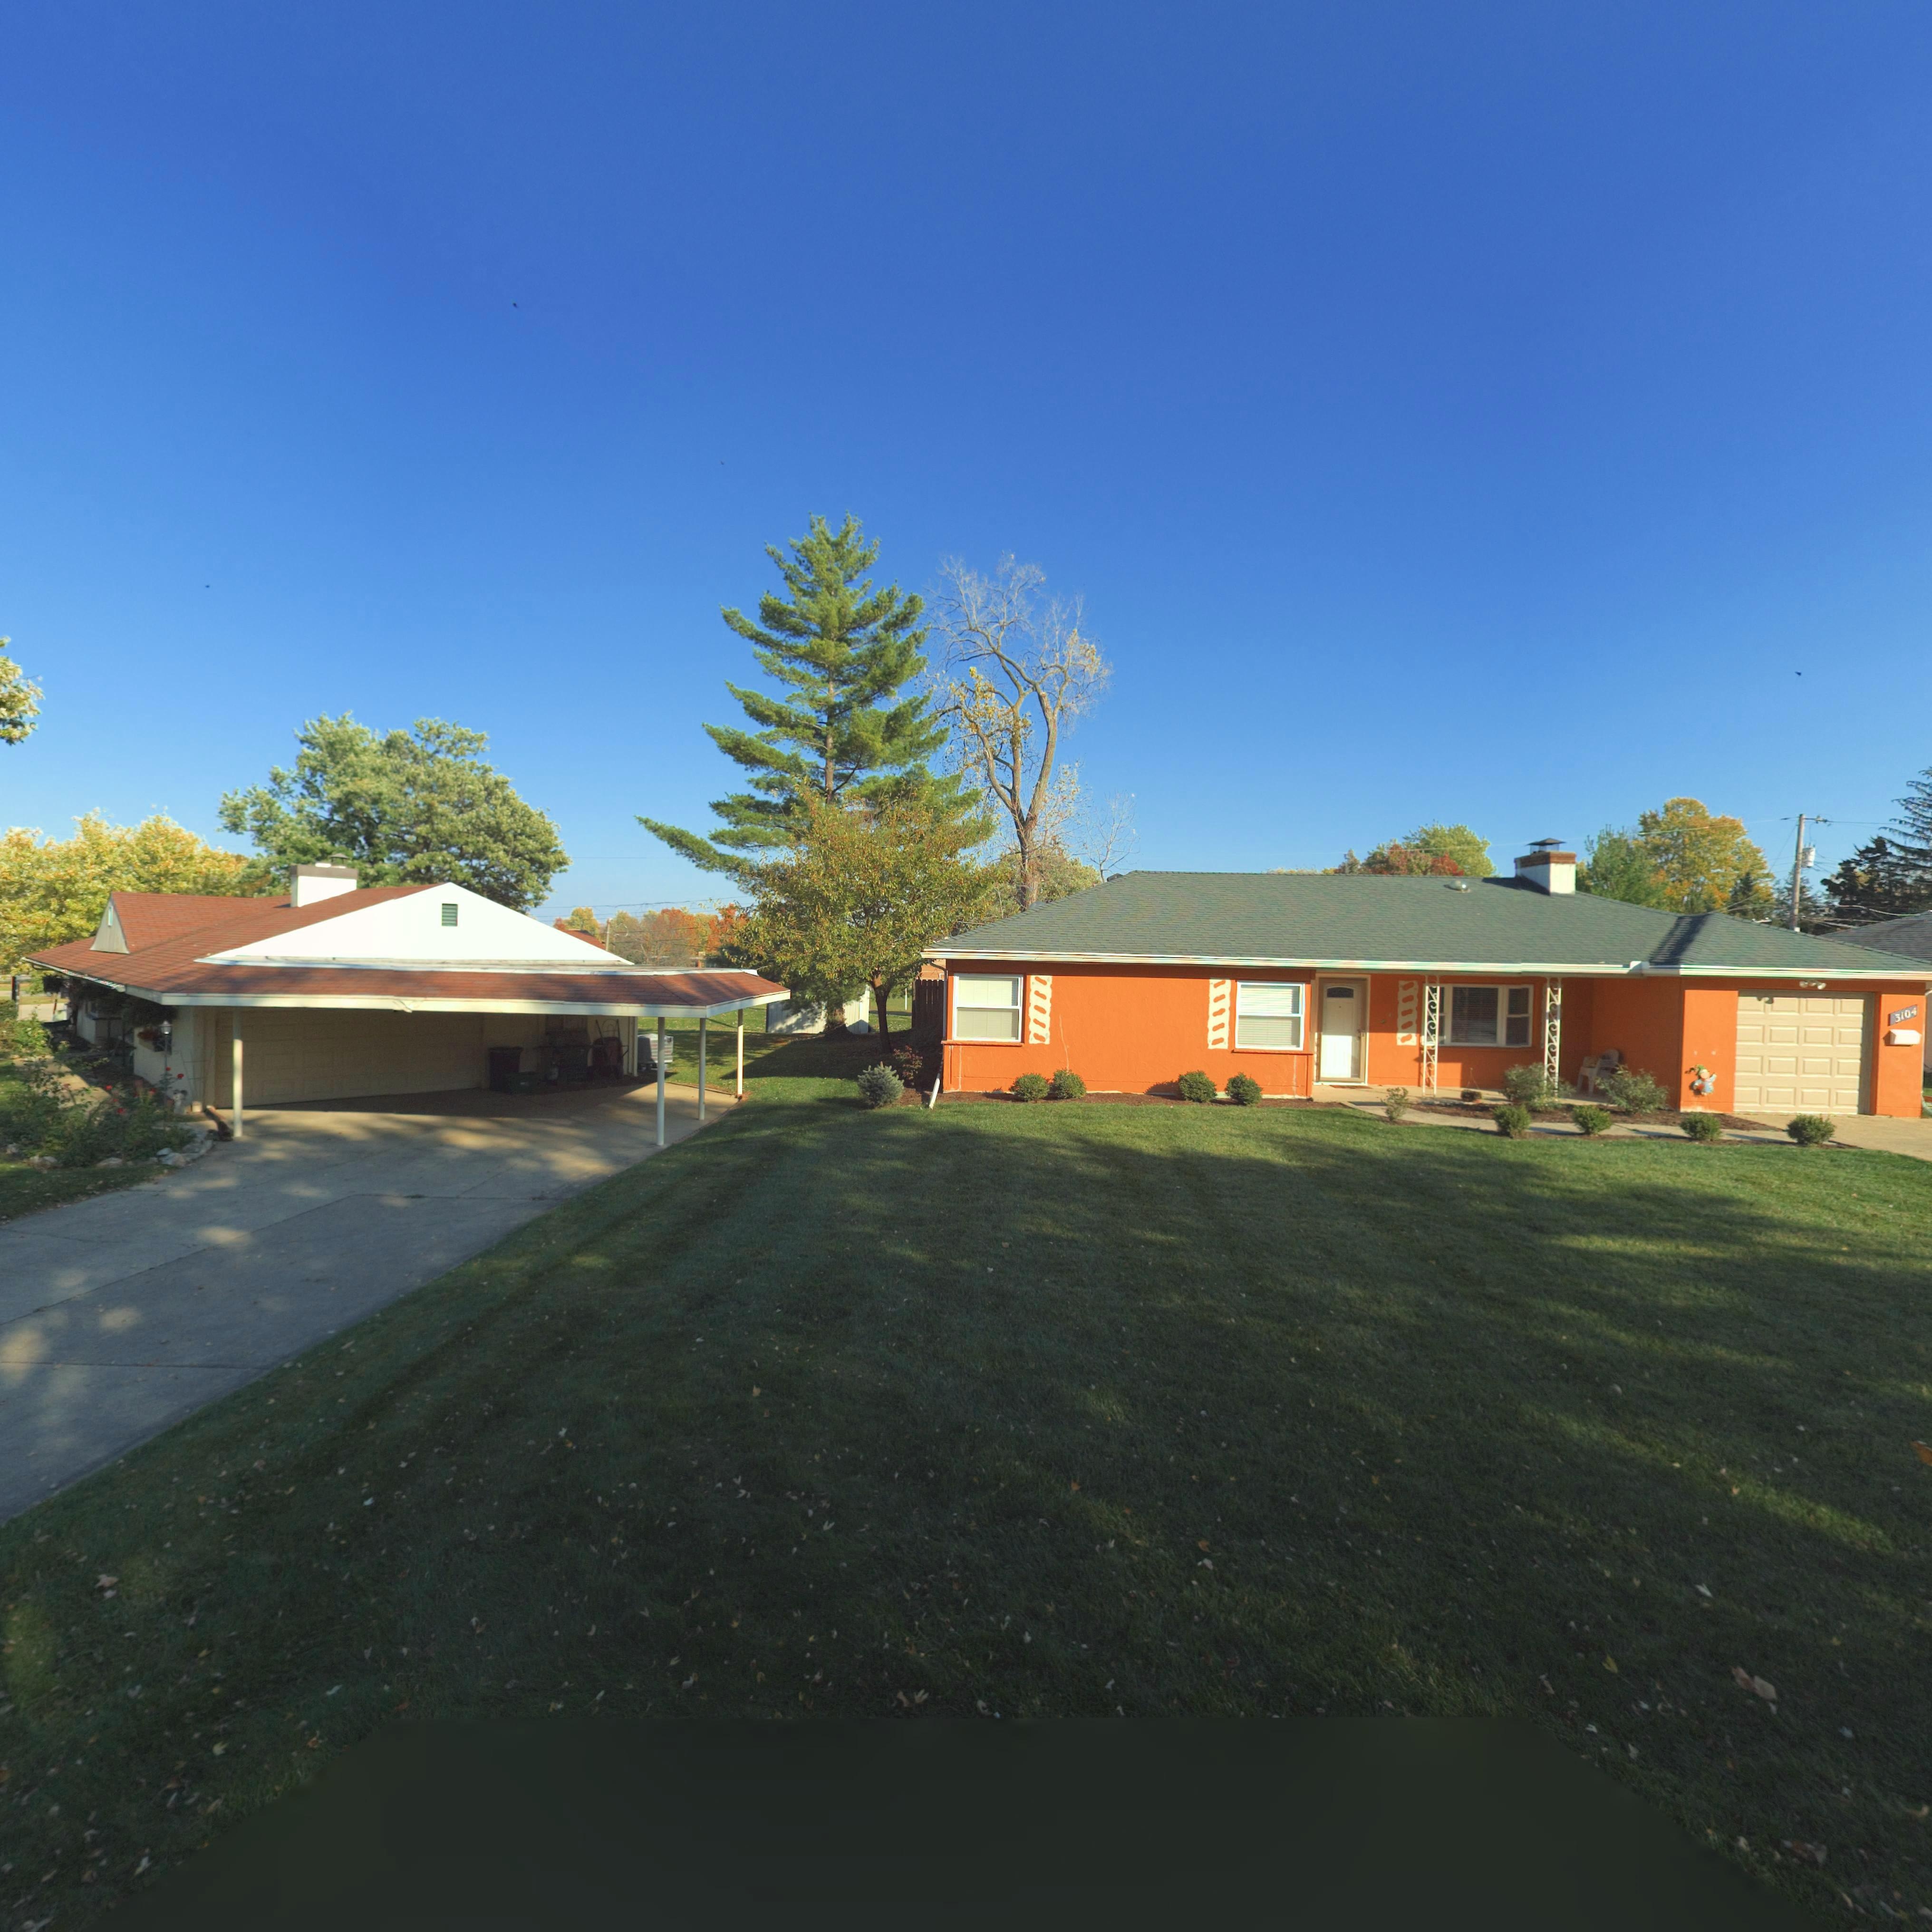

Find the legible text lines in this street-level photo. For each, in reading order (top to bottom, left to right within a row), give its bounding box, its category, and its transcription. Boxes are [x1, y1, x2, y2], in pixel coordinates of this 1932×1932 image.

[1893, 1005, 1918, 1024] StreetNumber: 3104